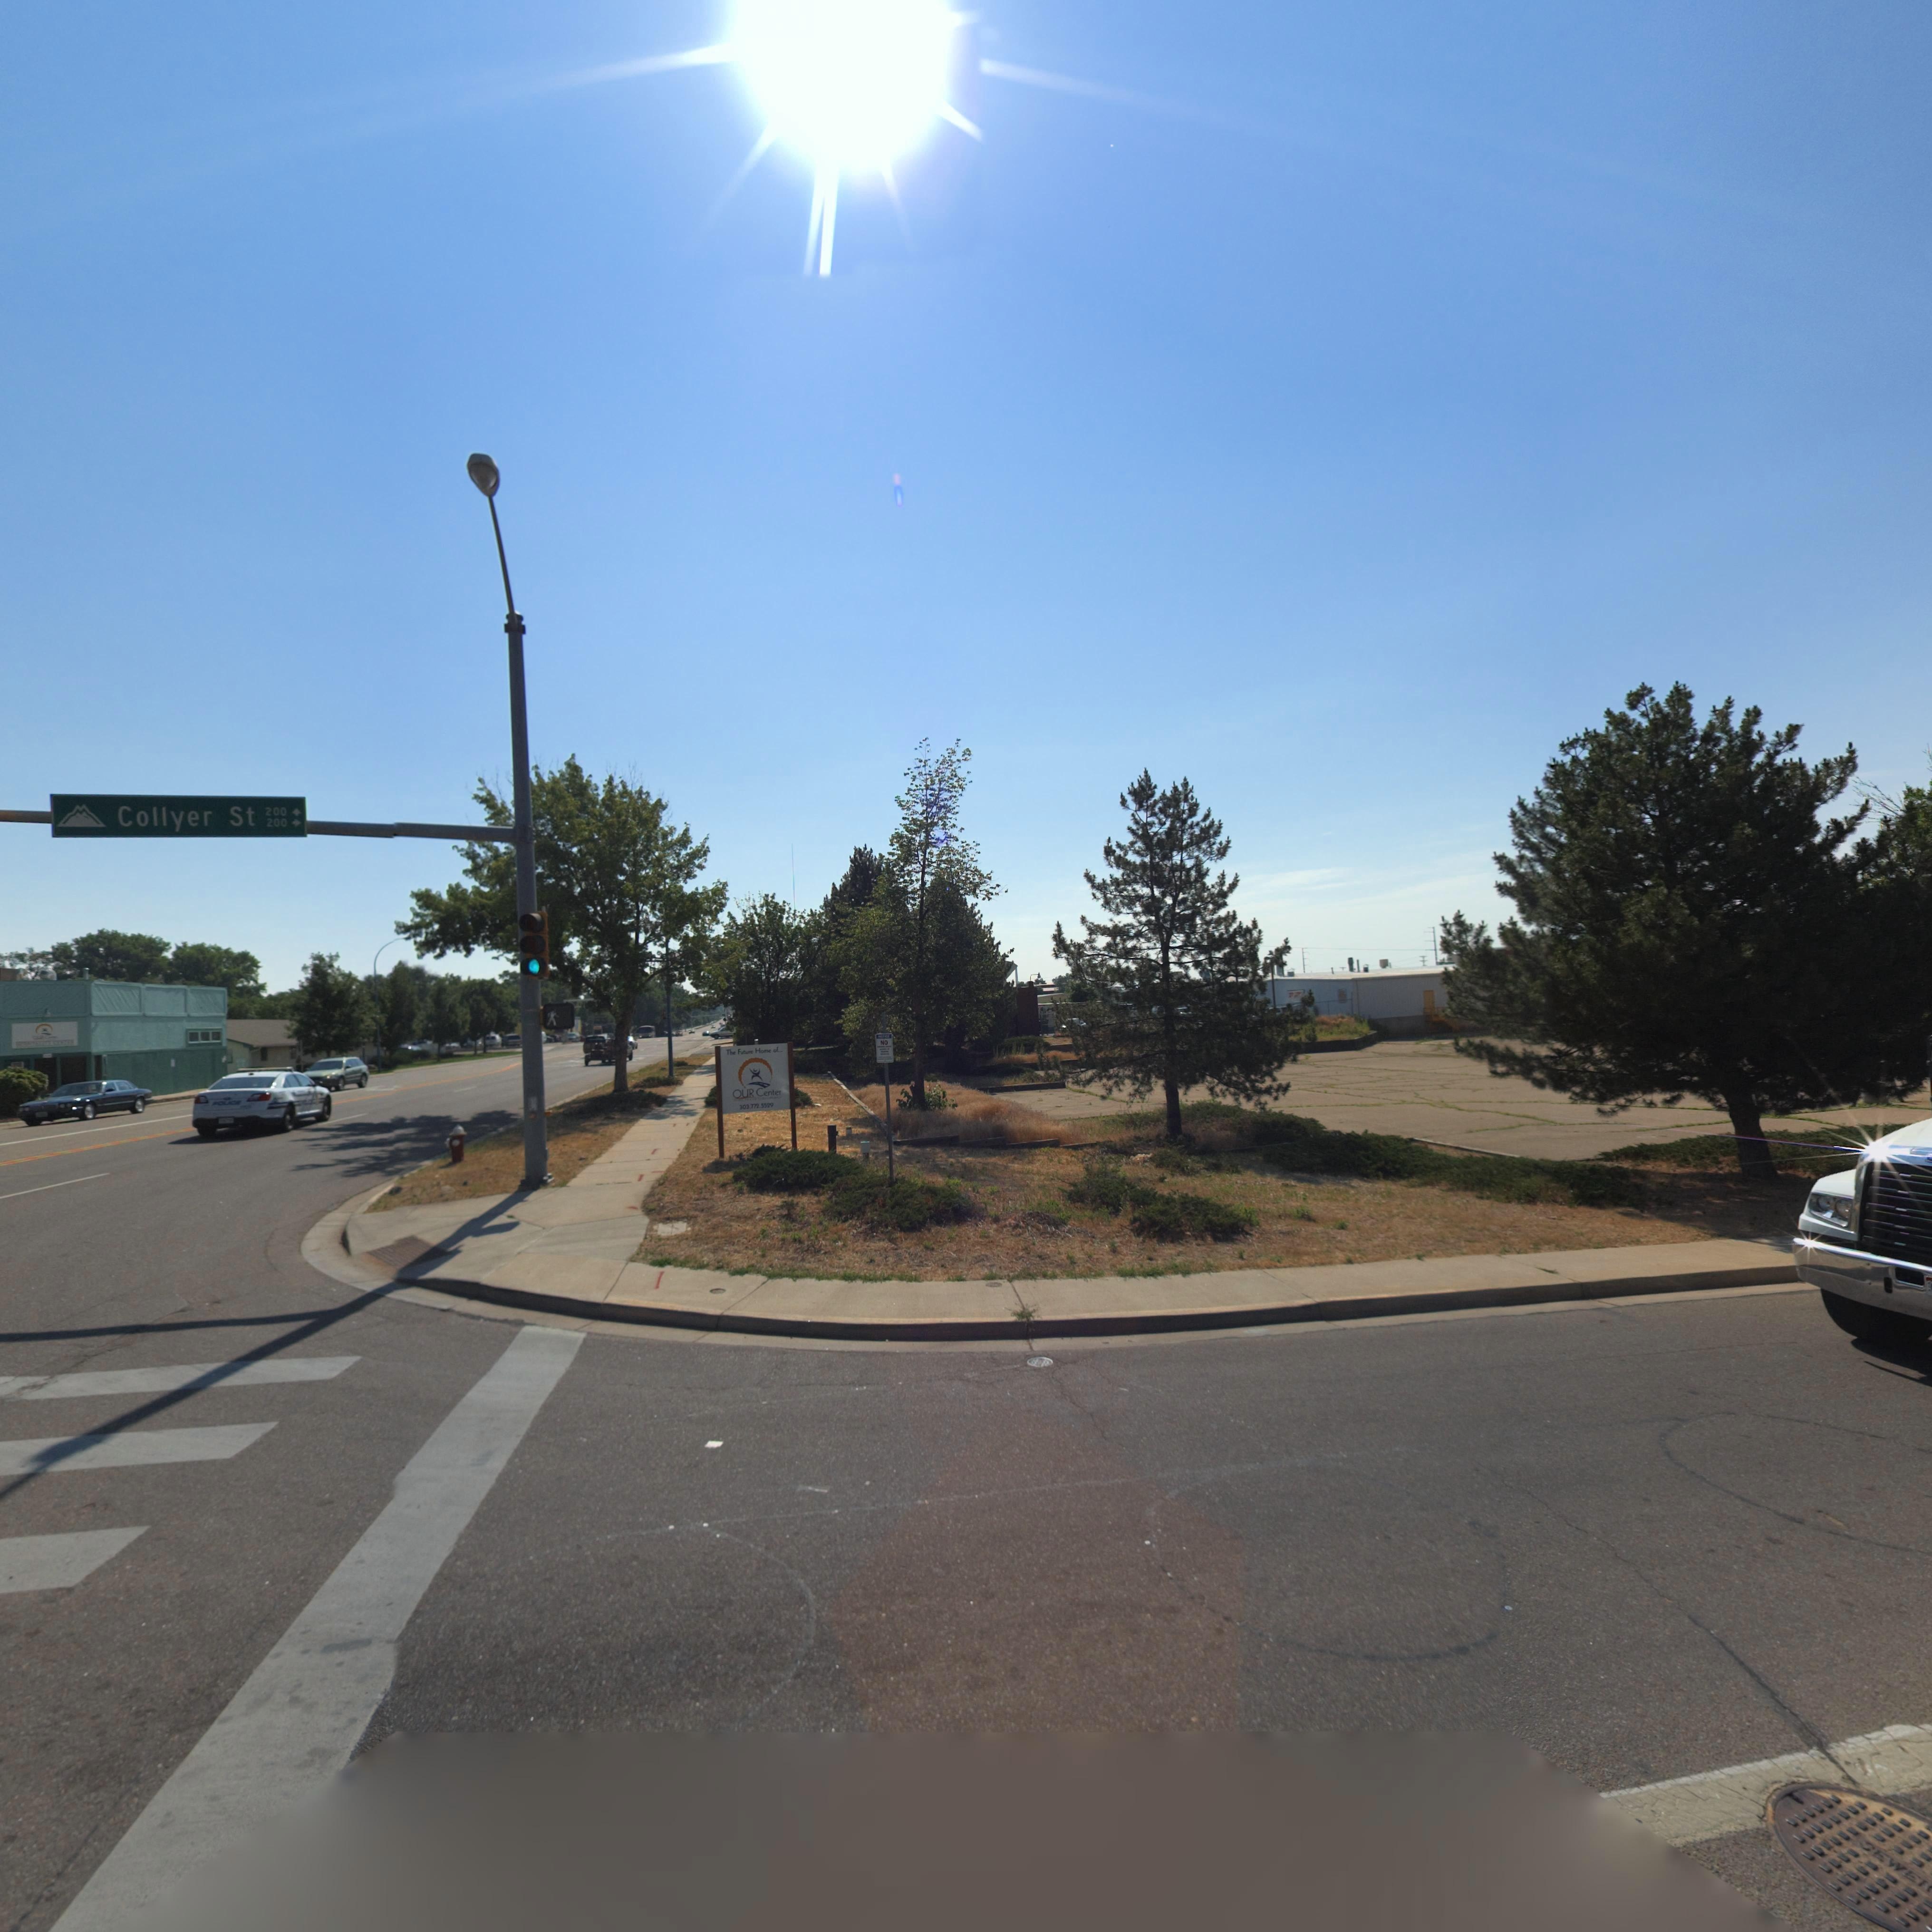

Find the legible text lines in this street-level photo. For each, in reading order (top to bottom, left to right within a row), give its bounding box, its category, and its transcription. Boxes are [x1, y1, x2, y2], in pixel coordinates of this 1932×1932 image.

[264, 806, 287, 816] StreetNumberRange: 200
[117, 805, 256, 833] StreetName: Collyer St
[266, 817, 302, 828] StreetNumberRange: 200->
[31, 1034, 58, 1039] BusinessName: OUR C***
[732, 1087, 782, 1099] BusinessName: OUR Center